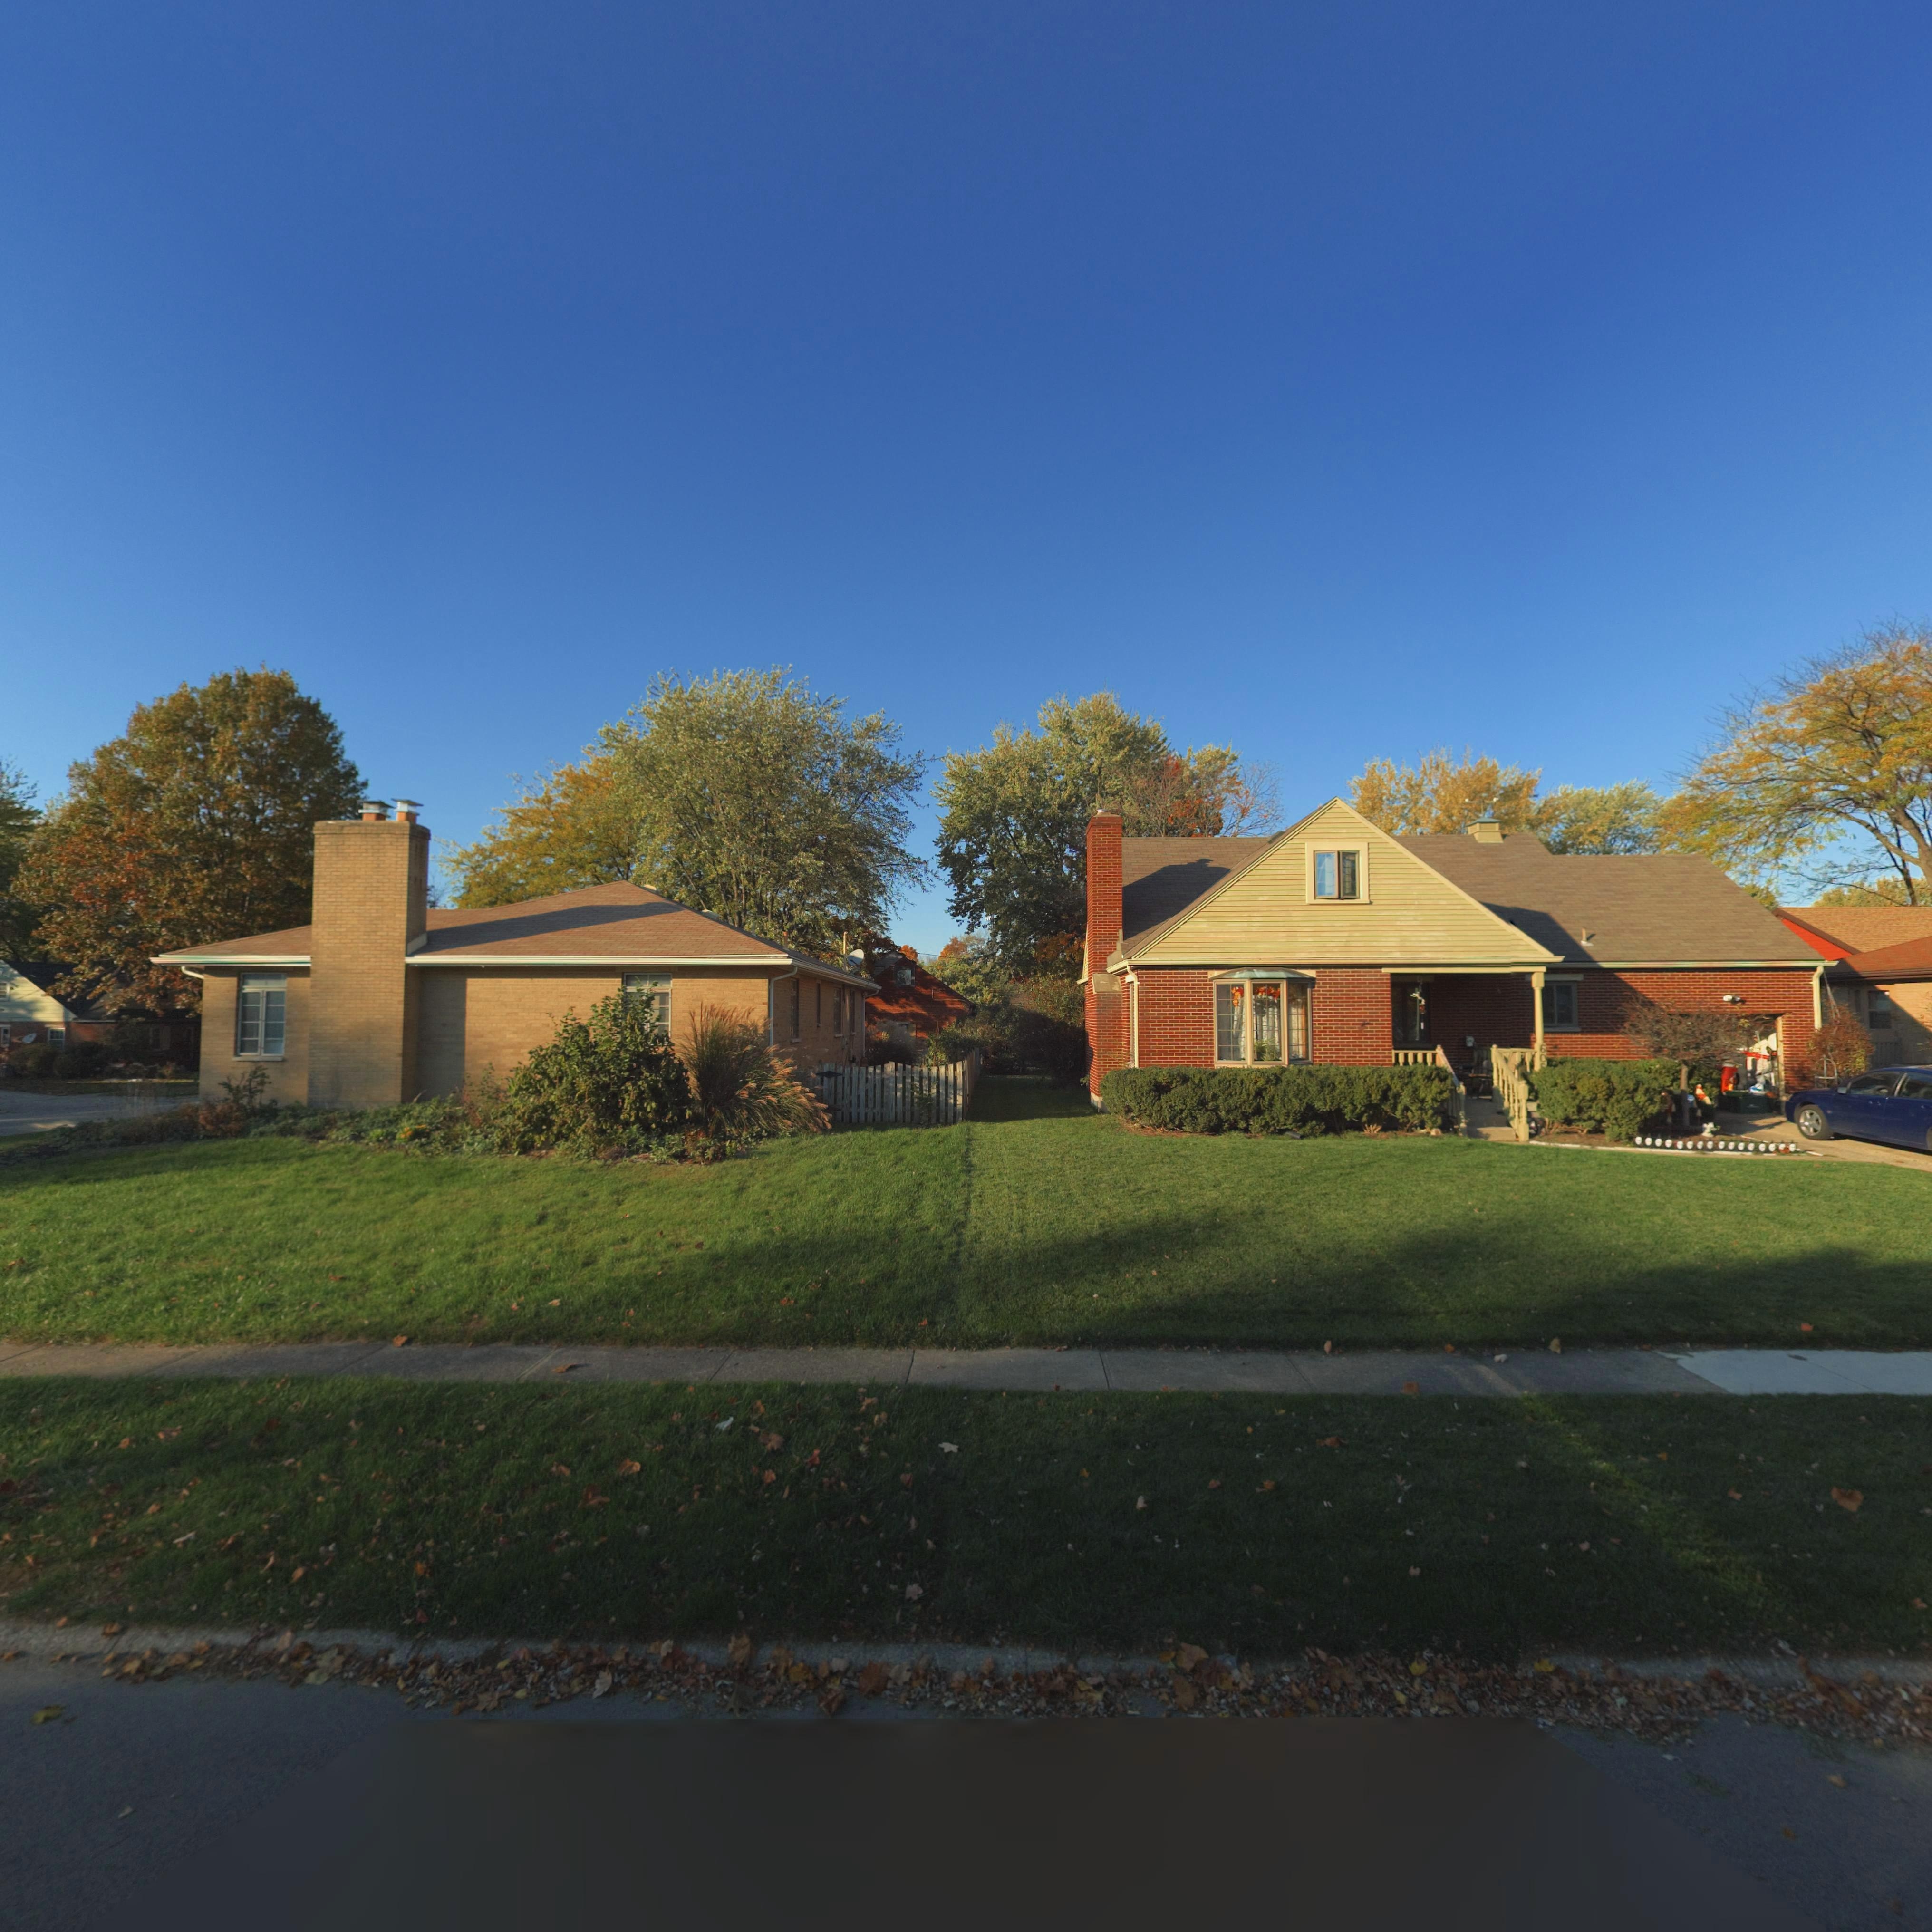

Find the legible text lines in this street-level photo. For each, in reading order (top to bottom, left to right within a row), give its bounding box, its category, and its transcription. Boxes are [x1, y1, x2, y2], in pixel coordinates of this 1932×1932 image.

[1539, 1043, 1547, 1063] StreetNumber: 60